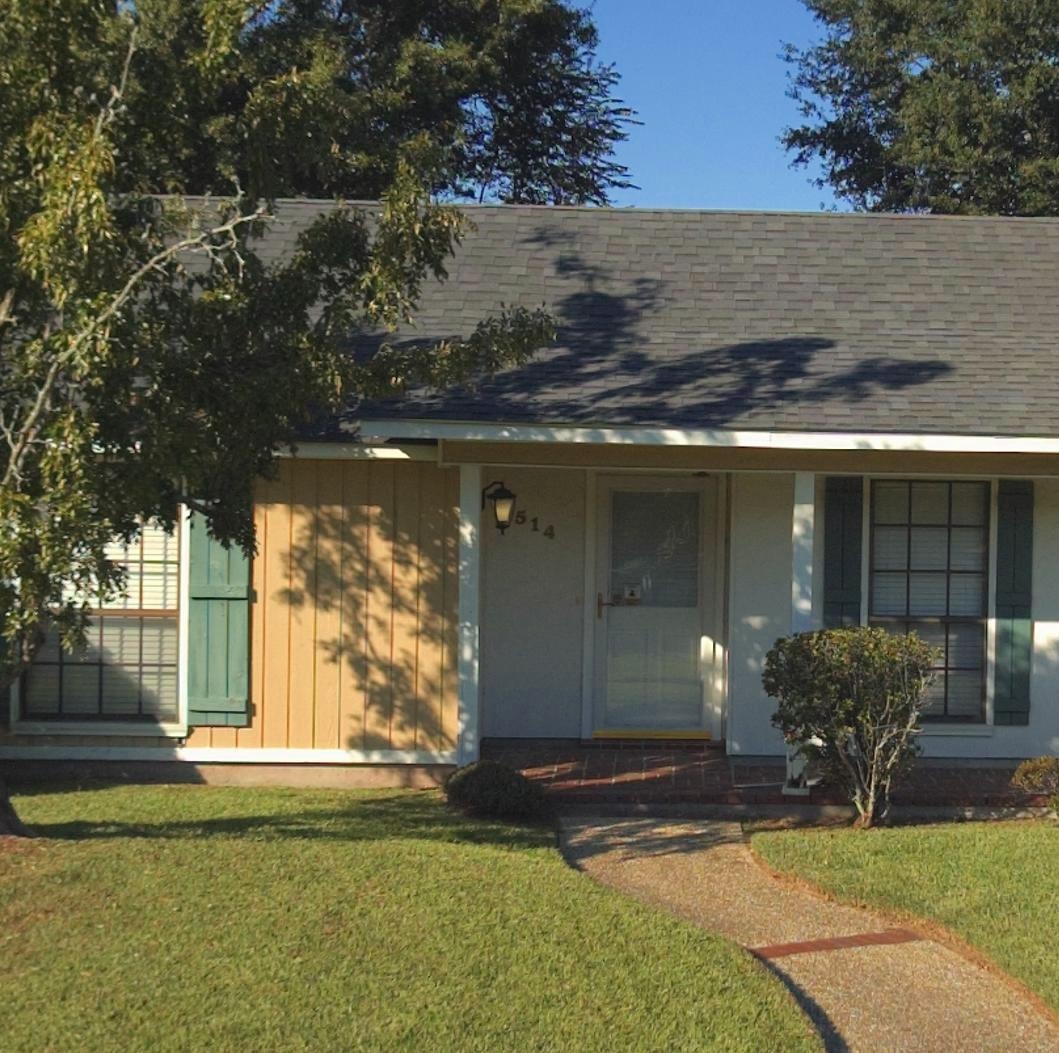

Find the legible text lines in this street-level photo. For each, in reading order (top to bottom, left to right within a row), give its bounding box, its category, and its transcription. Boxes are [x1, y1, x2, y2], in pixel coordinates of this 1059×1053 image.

[515, 509, 556, 543] StreetNumber: 514